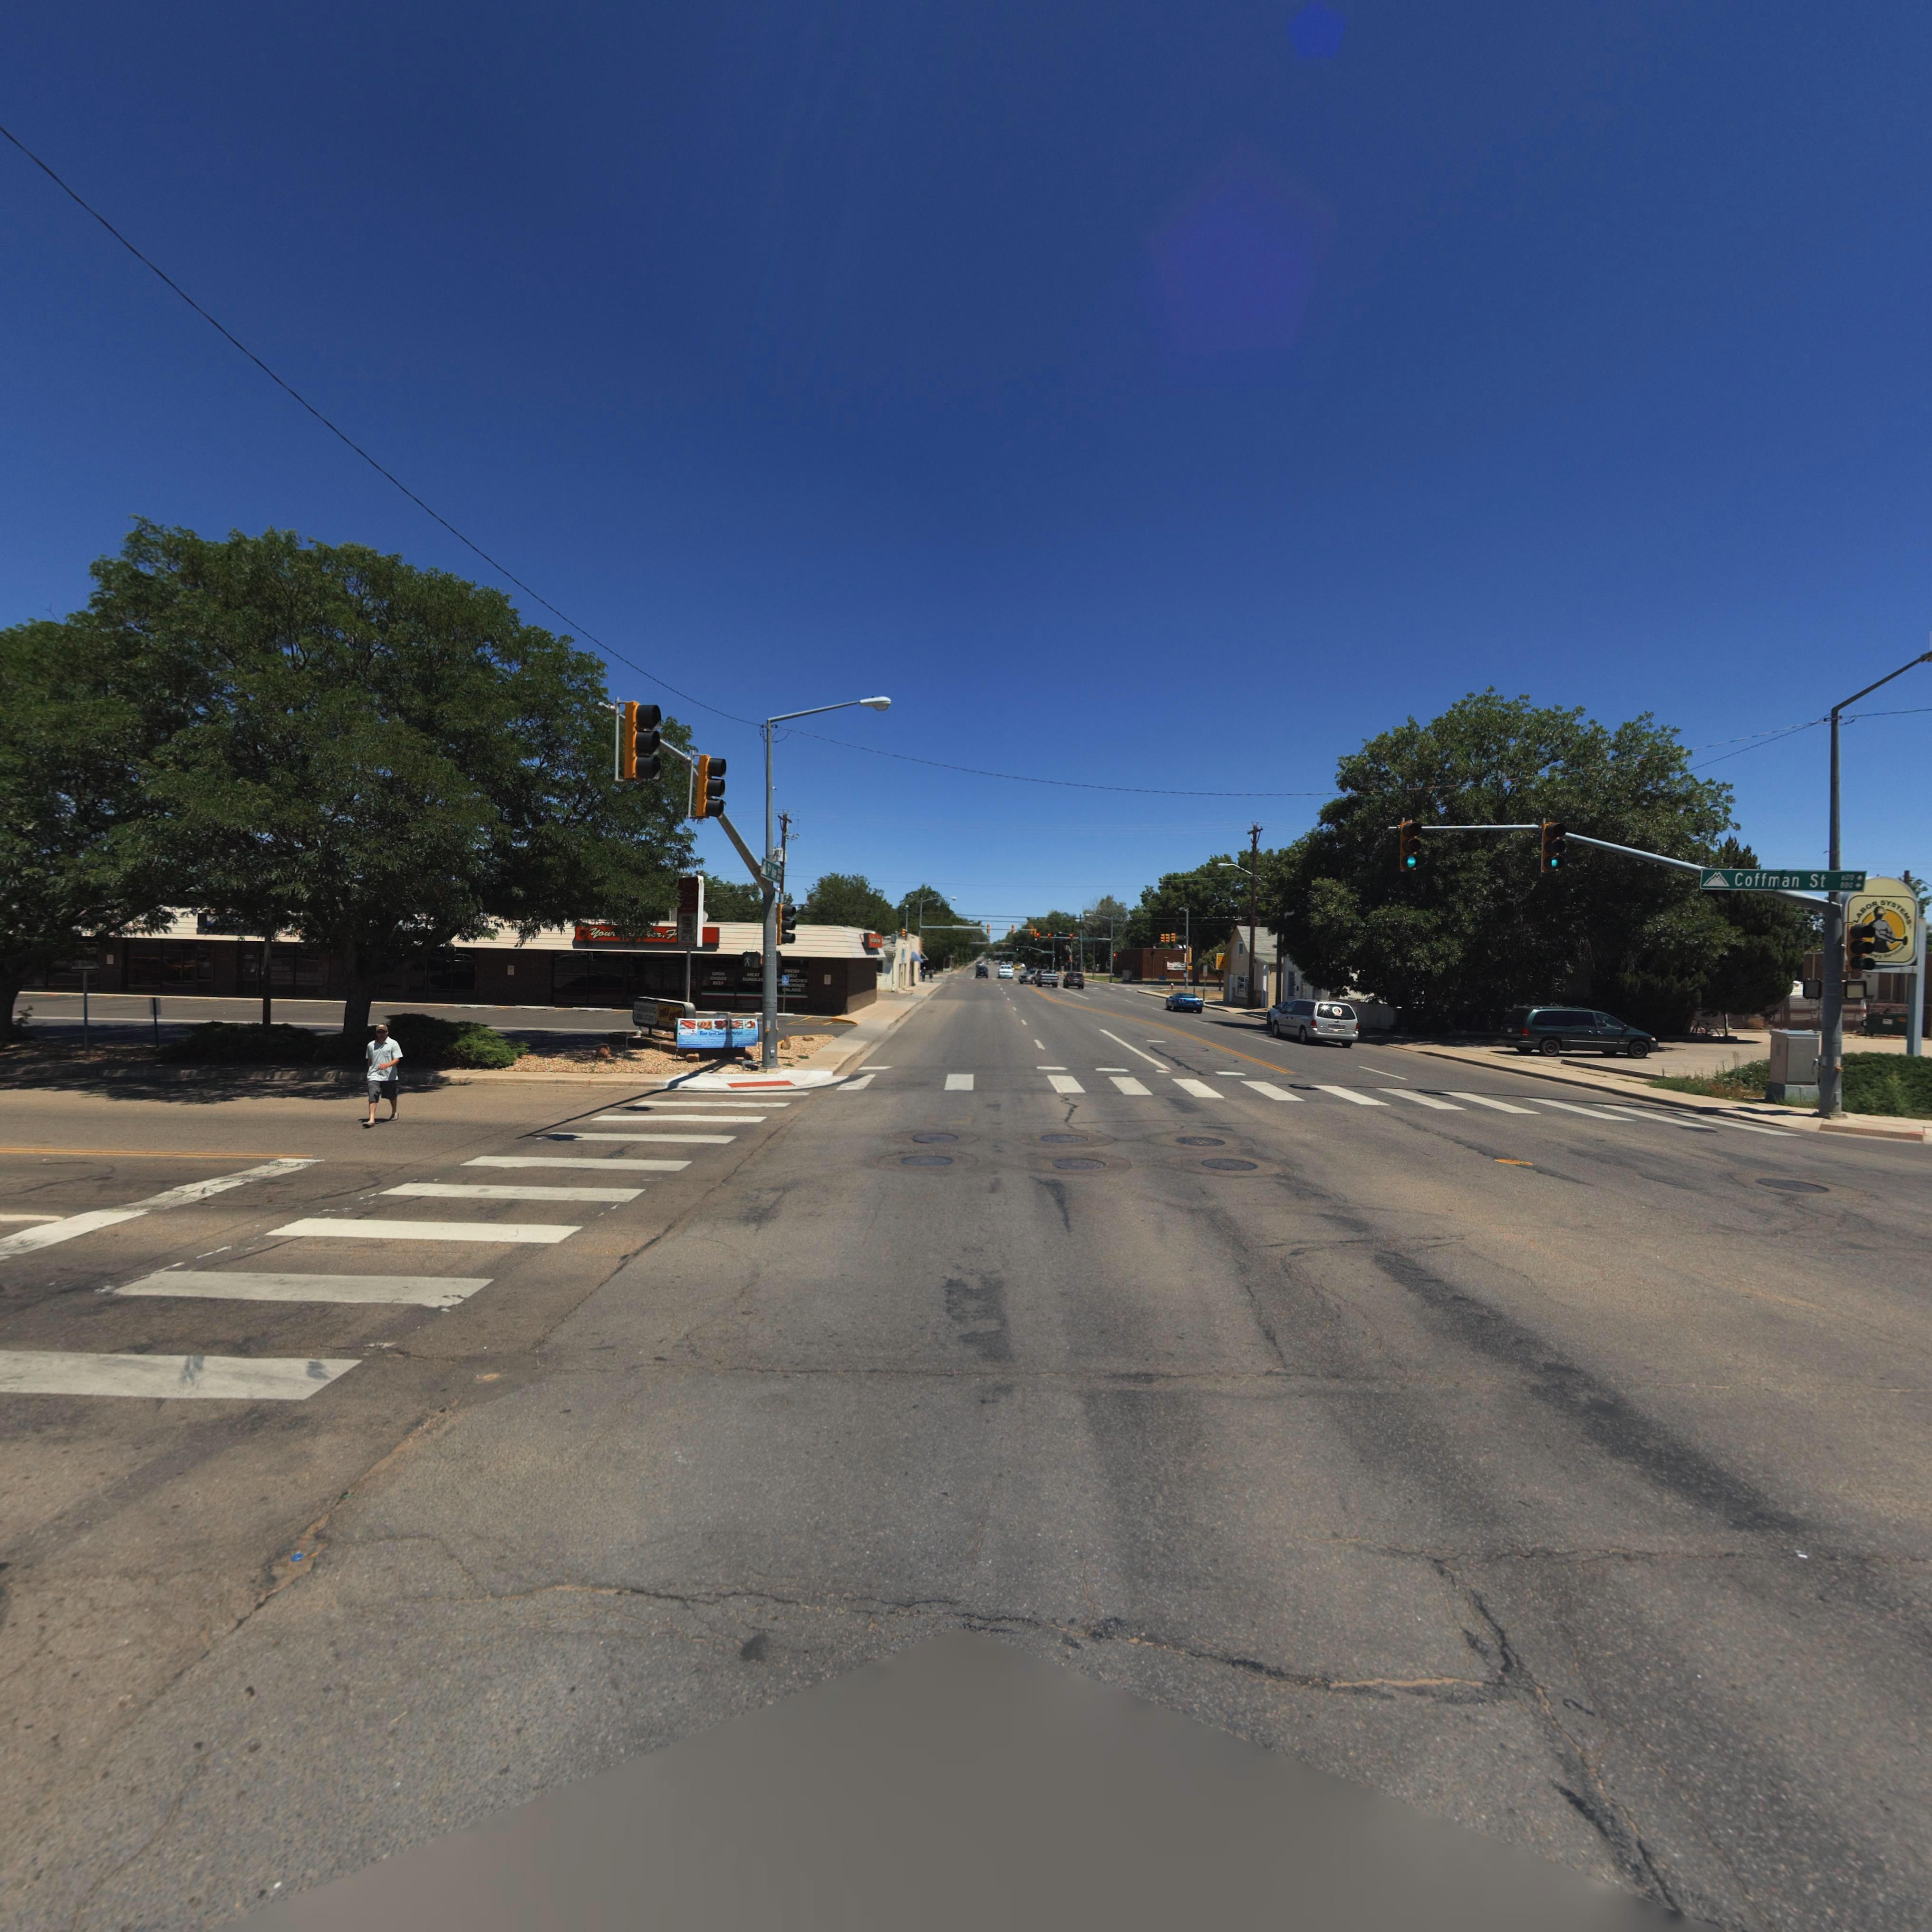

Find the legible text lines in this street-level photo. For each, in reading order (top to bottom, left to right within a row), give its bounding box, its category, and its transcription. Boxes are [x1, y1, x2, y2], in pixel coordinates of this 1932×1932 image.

[766, 862, 777, 879] StreetName: 9*h A*e
[681, 880, 694, 889] BusinessName: *ou*
[1733, 871, 1826, 889] StreetName: Coffman St
[1840, 874, 1855, 881] StreetNumberRange: *00
[1840, 881, 1862, 889] StreetNumberRange: *00 ->
[678, 889, 696, 898] BusinessName: ***ch**
[678, 898, 694, 905] BusinessName: ****k
[1852, 899, 1913, 925] BusinessName: LABOR SYSTEMS
[589, 927, 693, 939] BusinessName: *ou* *****e*, *****
[869, 936, 881, 943] BusinessName: **** ******** **a*k
[636, 1013, 654, 1022] BusinessName: R**L *STATE
[633, 1004, 657, 1014] BusinessName: COL***DO G*LD
[658, 1006, 670, 1018] BusinessName: DELI
[669, 1007, 683, 1022] BusinessName: c***o
[658, 1021, 675, 1028] BusinessName: ****C*N *A**ET
[699, 1030, 743, 1036] BusinessName: ***e *ee* Sea*oo* **r**t